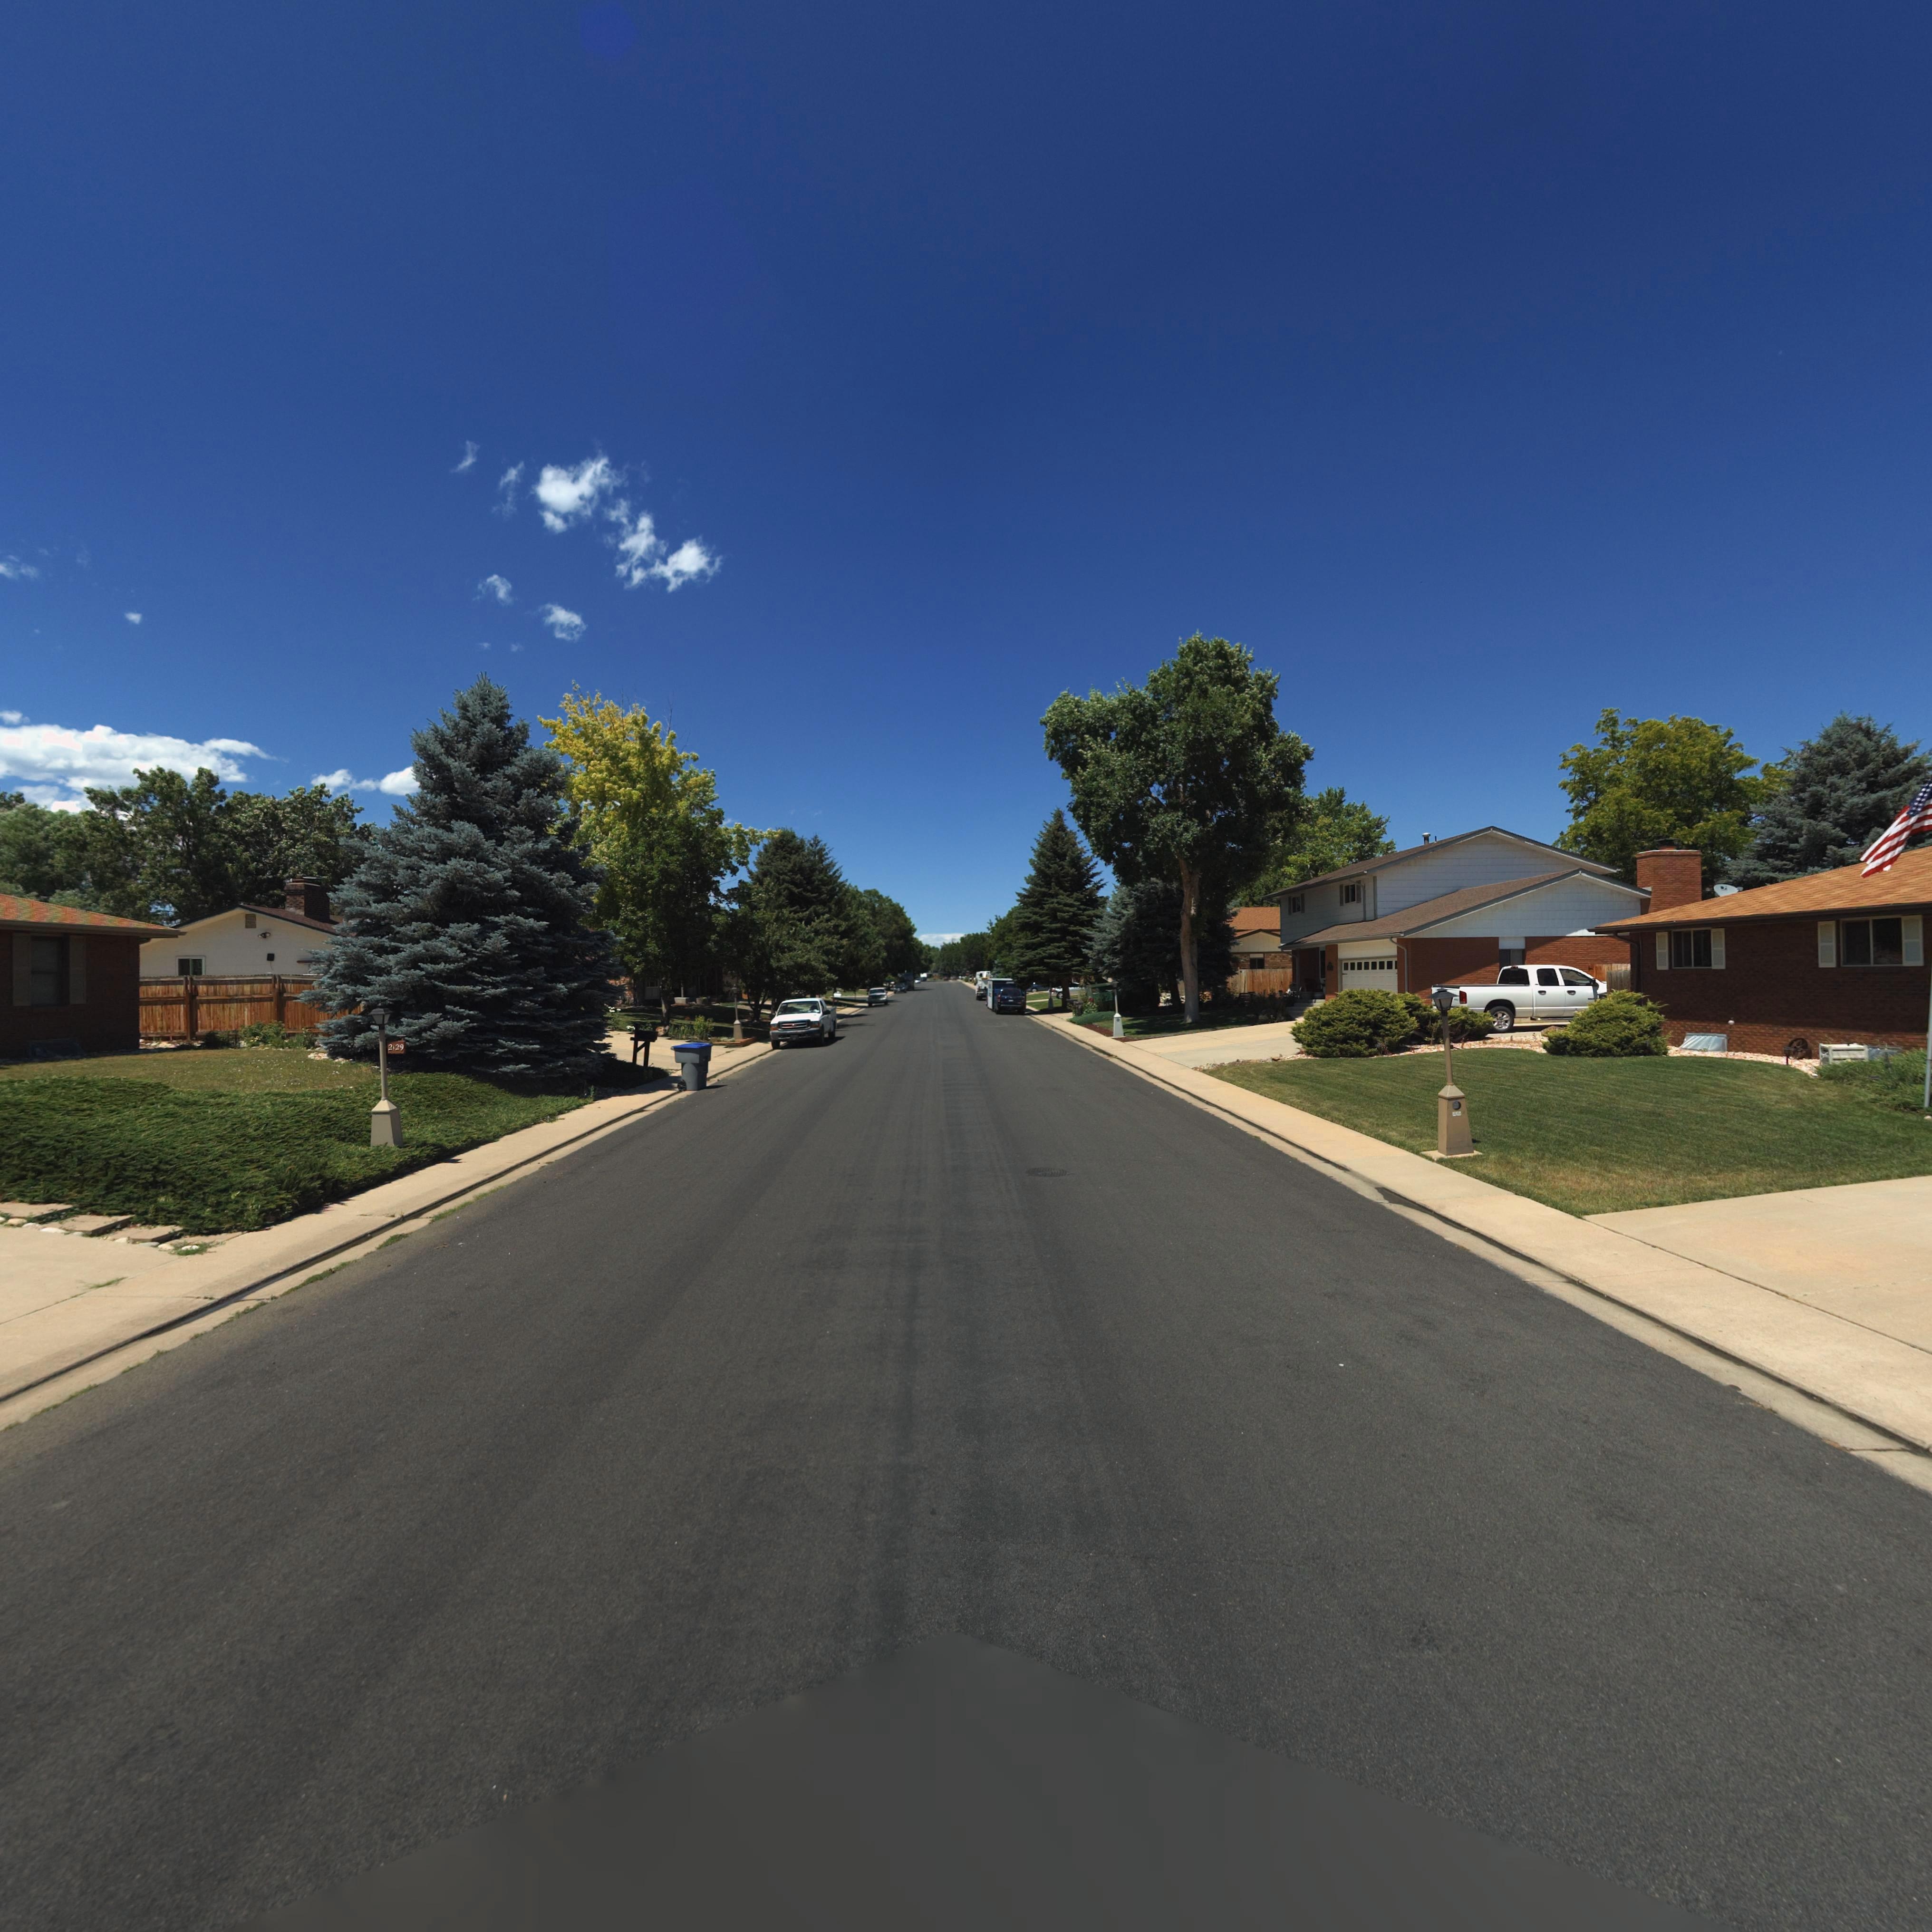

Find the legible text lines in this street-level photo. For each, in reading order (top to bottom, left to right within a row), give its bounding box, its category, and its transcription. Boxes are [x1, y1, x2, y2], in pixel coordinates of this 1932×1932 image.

[387, 1043, 404, 1051] StreetNumber: 2129